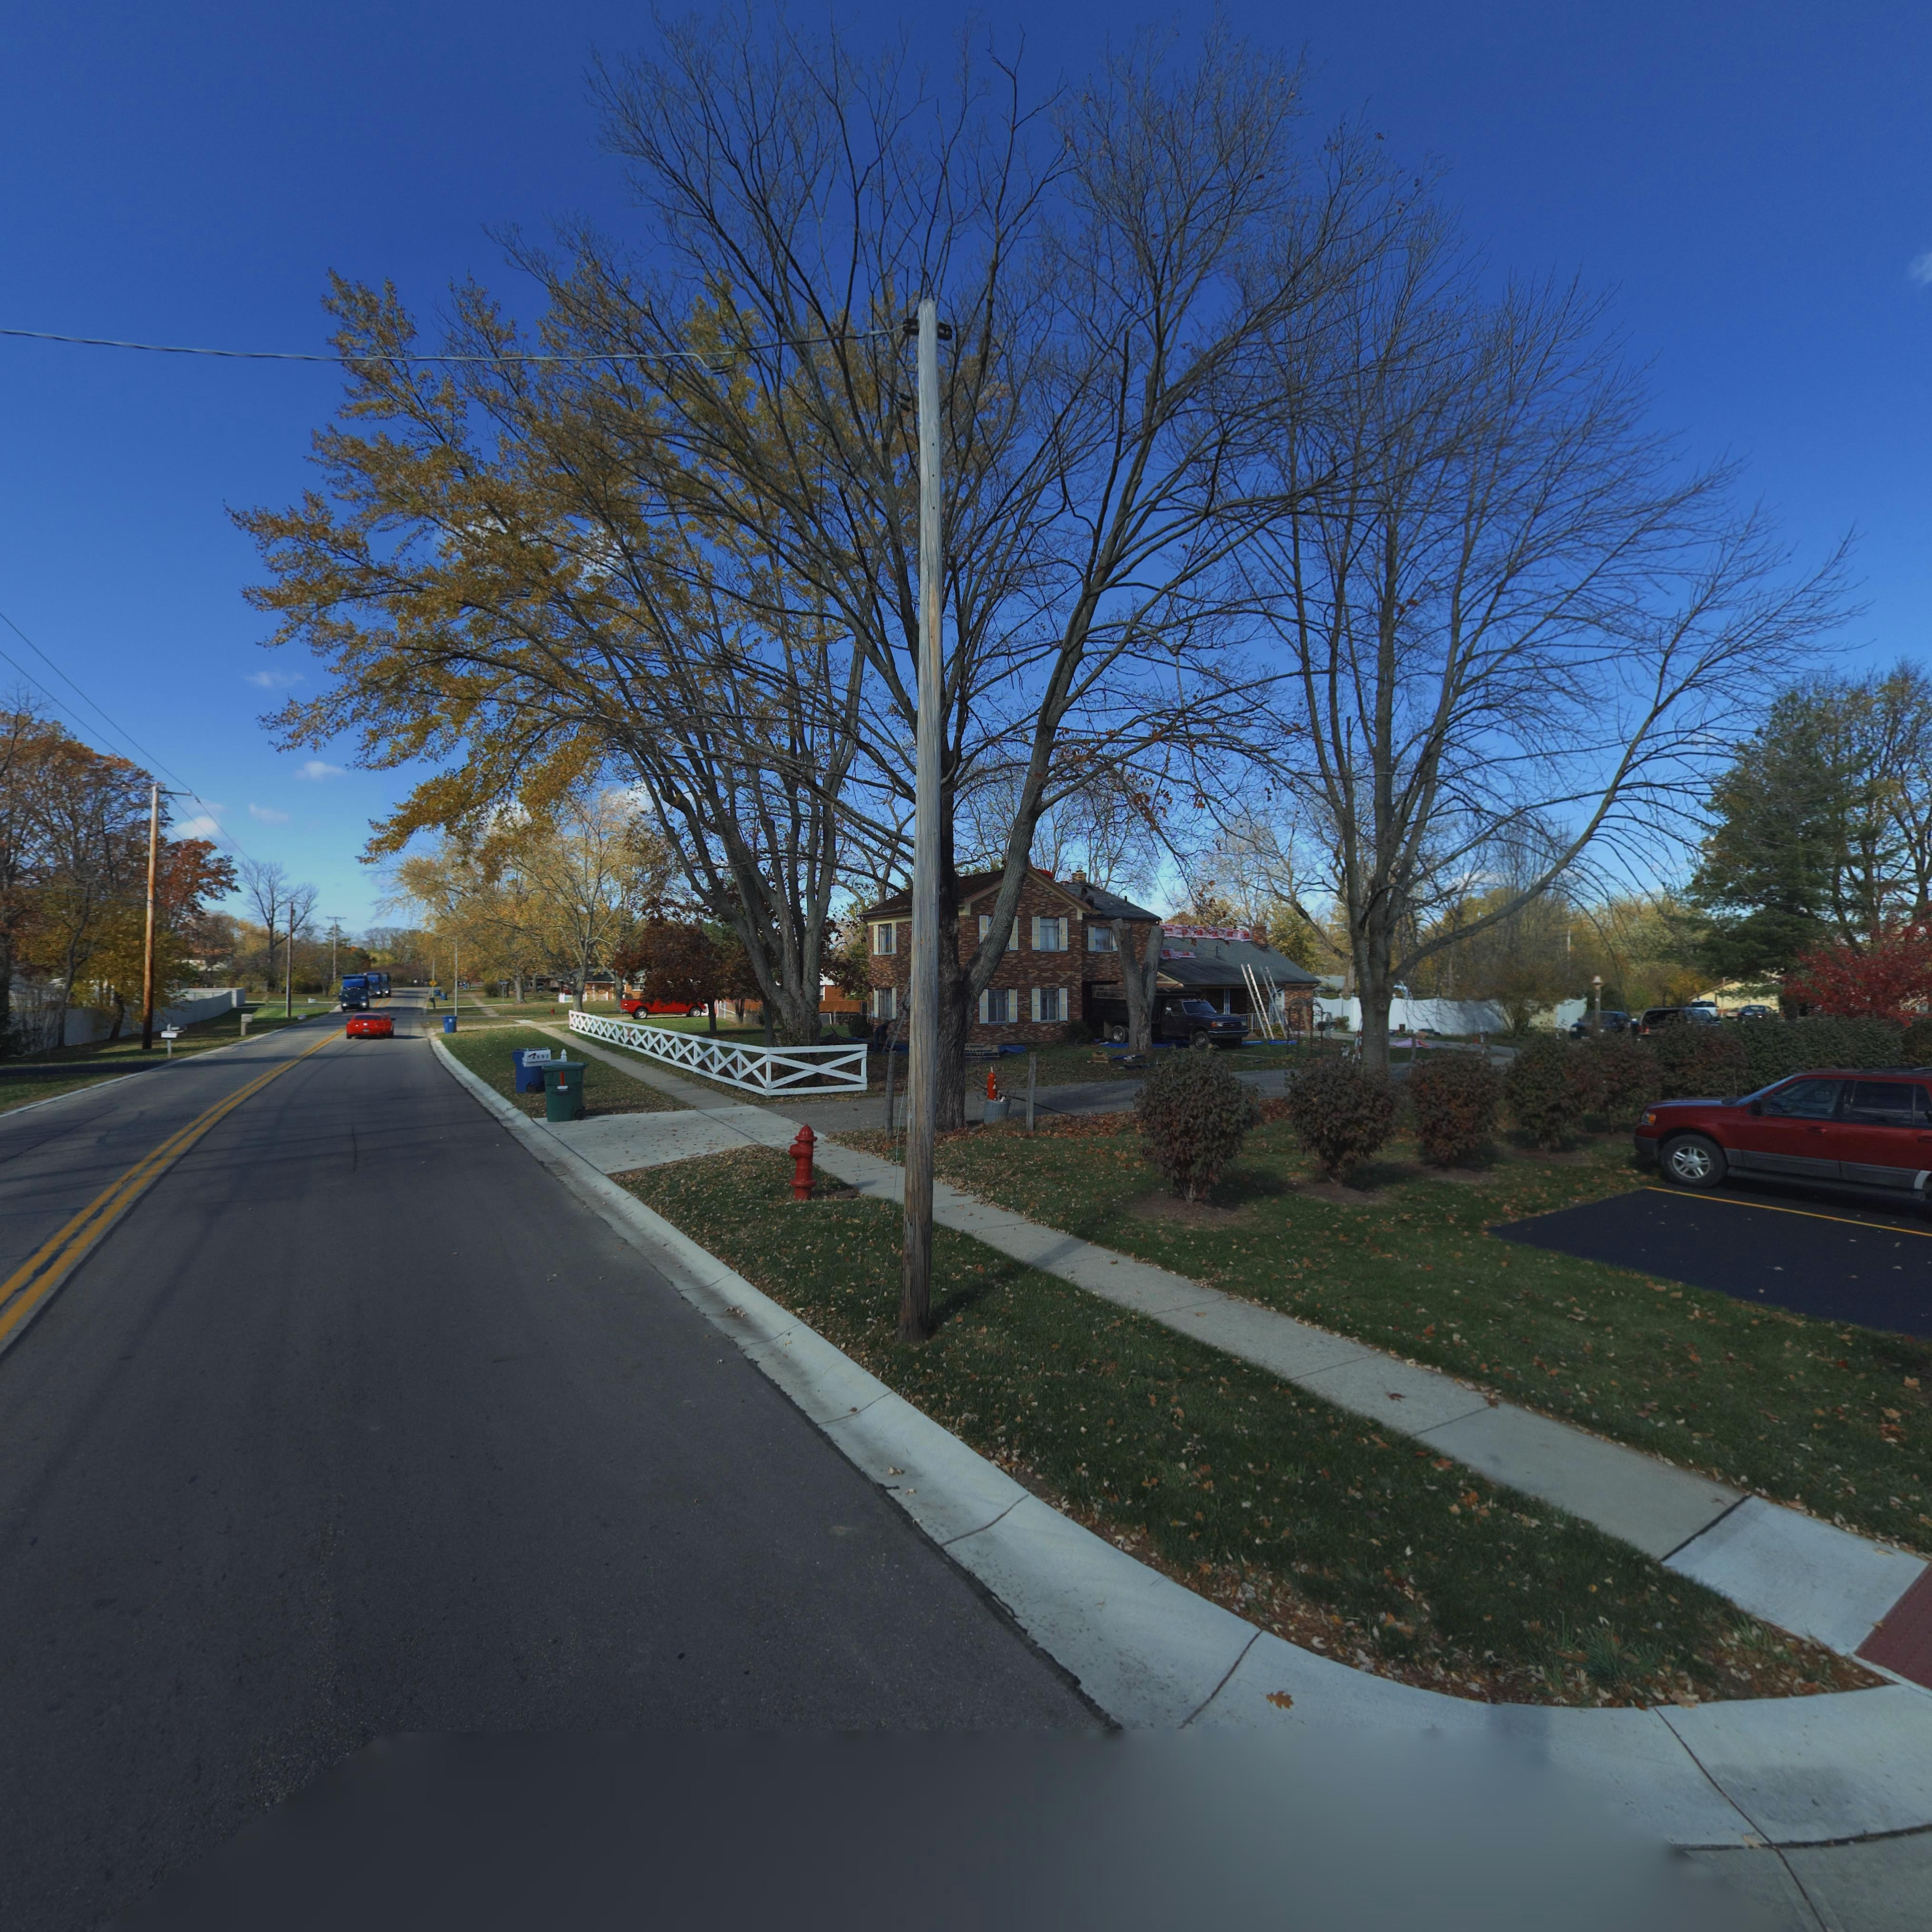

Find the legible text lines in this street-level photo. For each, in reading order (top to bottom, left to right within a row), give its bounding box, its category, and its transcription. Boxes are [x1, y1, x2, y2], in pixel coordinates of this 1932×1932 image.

[531, 1053, 549, 1061] StreetNumber: 6991